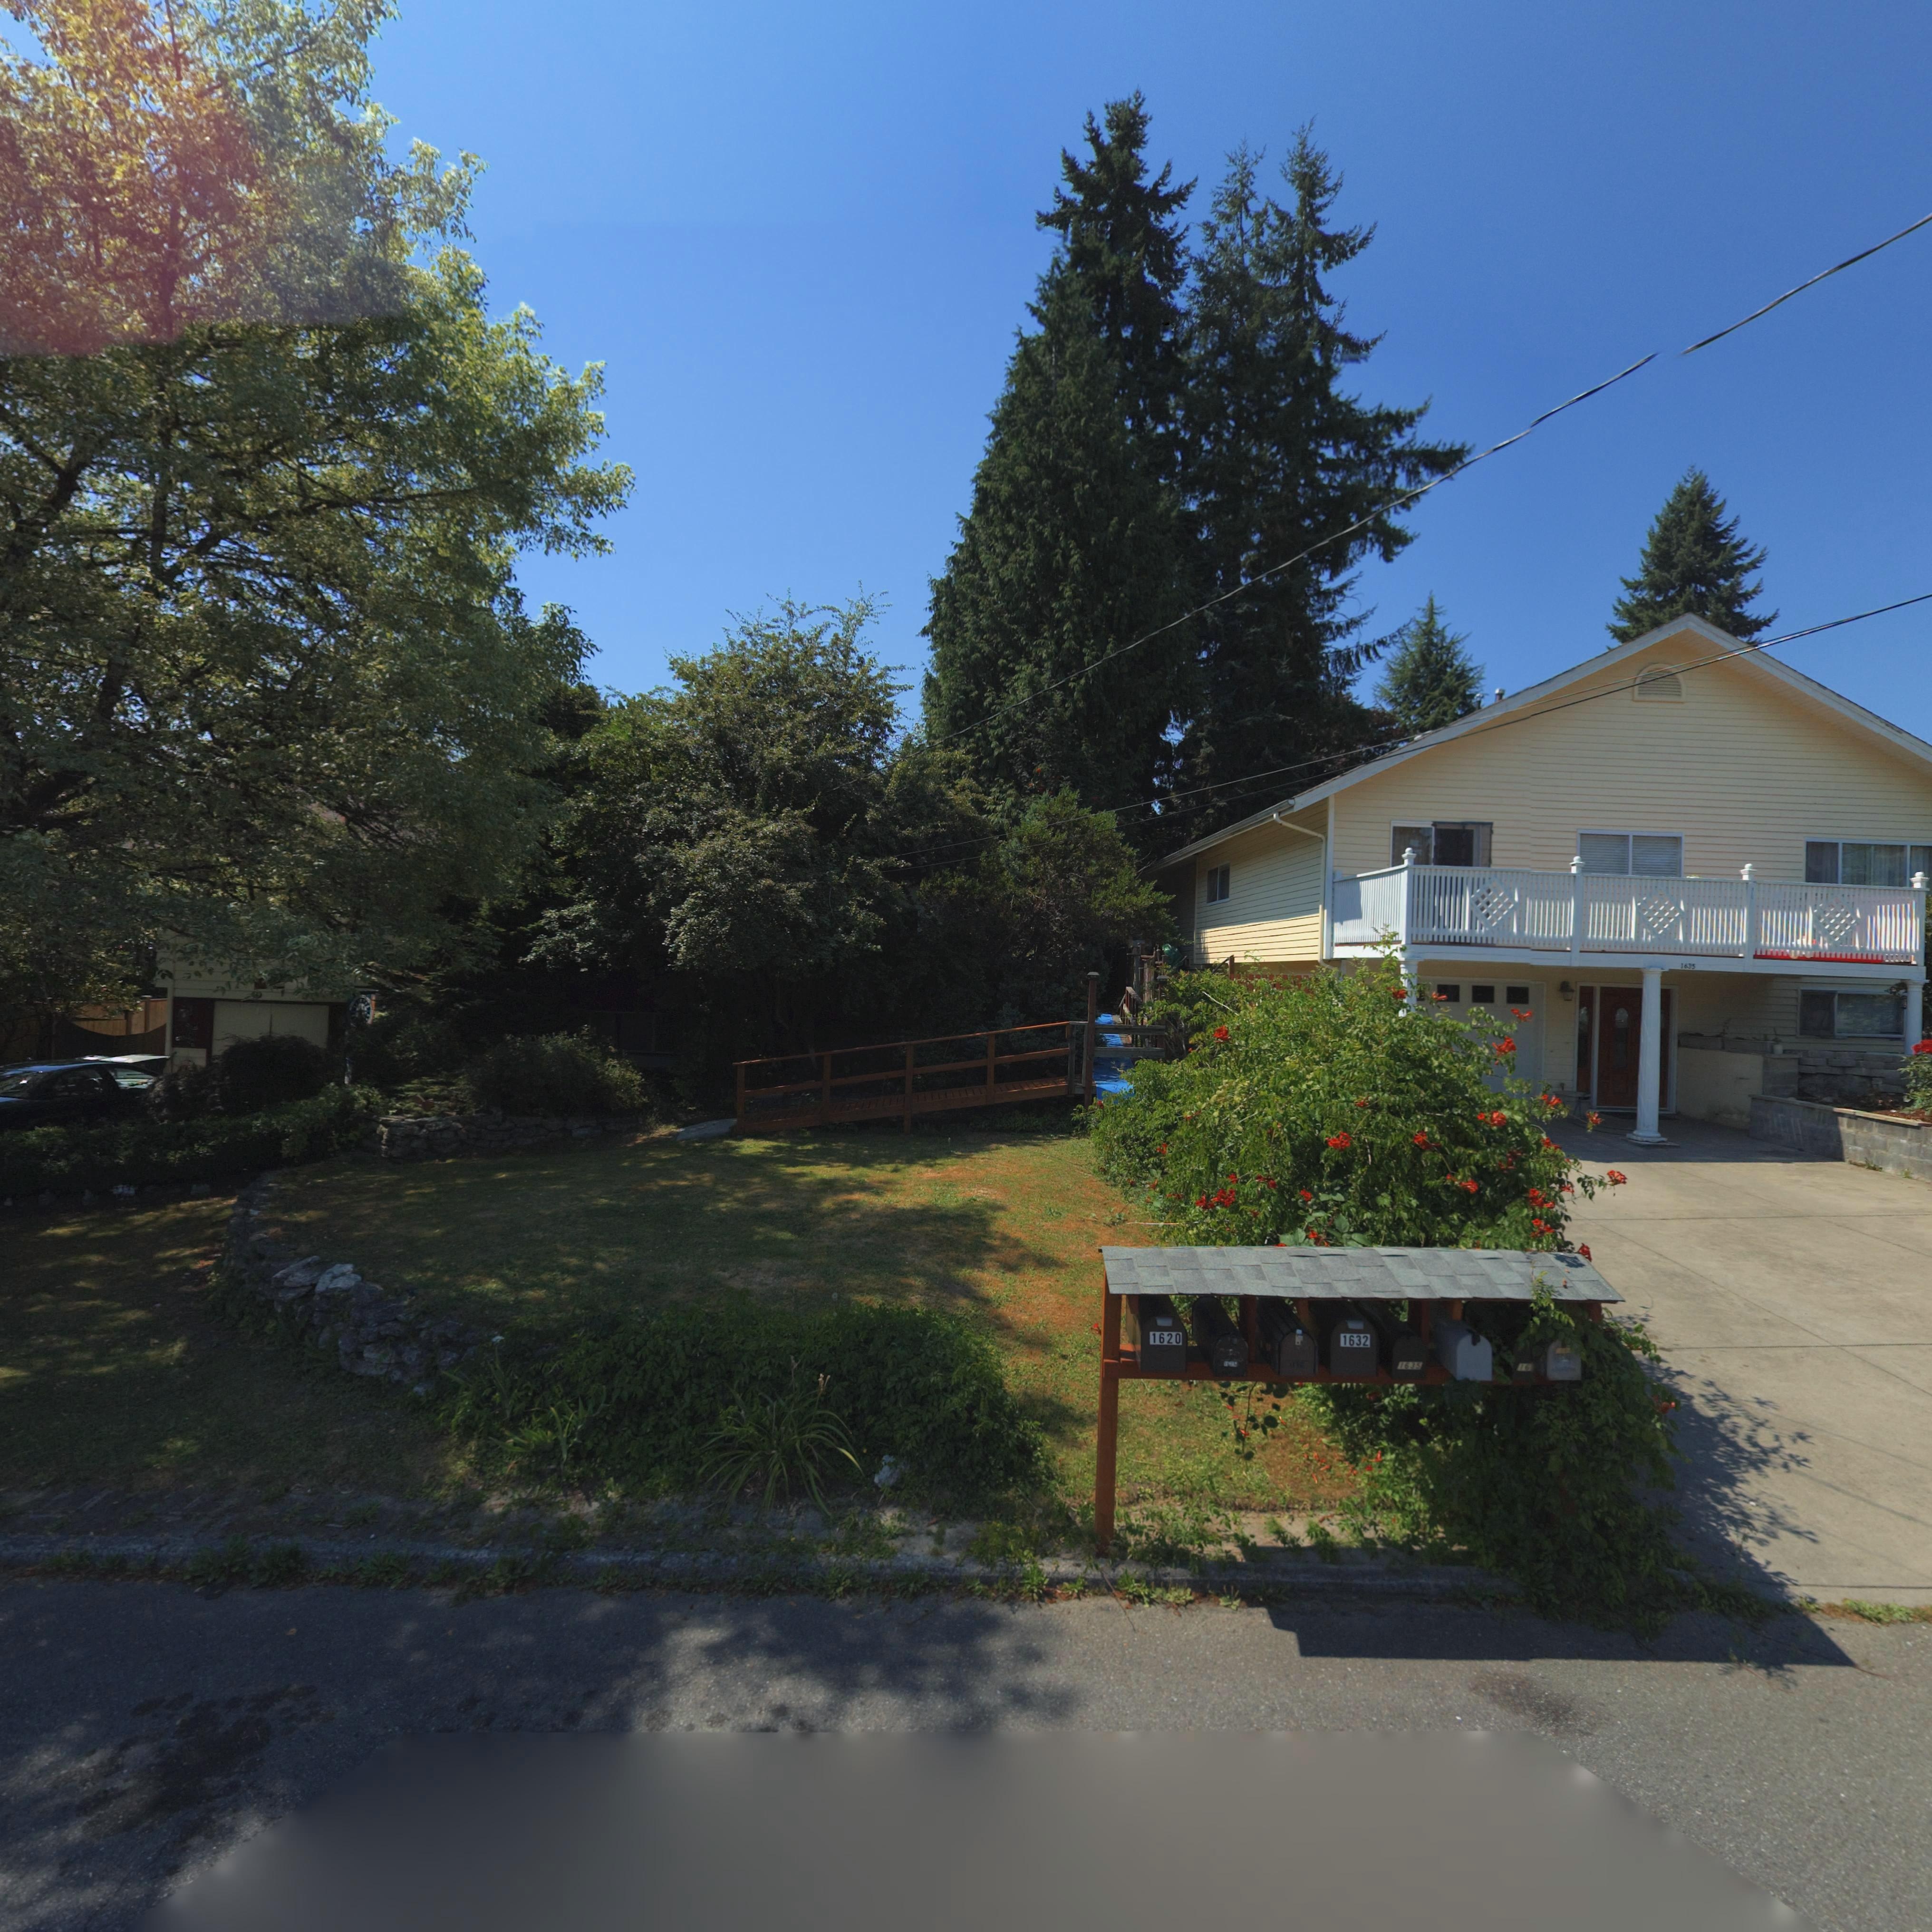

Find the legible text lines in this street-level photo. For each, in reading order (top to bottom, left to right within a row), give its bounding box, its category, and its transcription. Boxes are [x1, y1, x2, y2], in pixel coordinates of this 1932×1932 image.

[1680, 962, 1696, 969] StreetNumber: 1*35
[1150, 1332, 1181, 1344] StreetNumber: 1620
[1341, 1333, 1369, 1348] StreetNumber: 1632
[1398, 1360, 1423, 1370] StreetNumber: 1635
[1517, 1362, 1531, 1372] StreetNumber: 16*